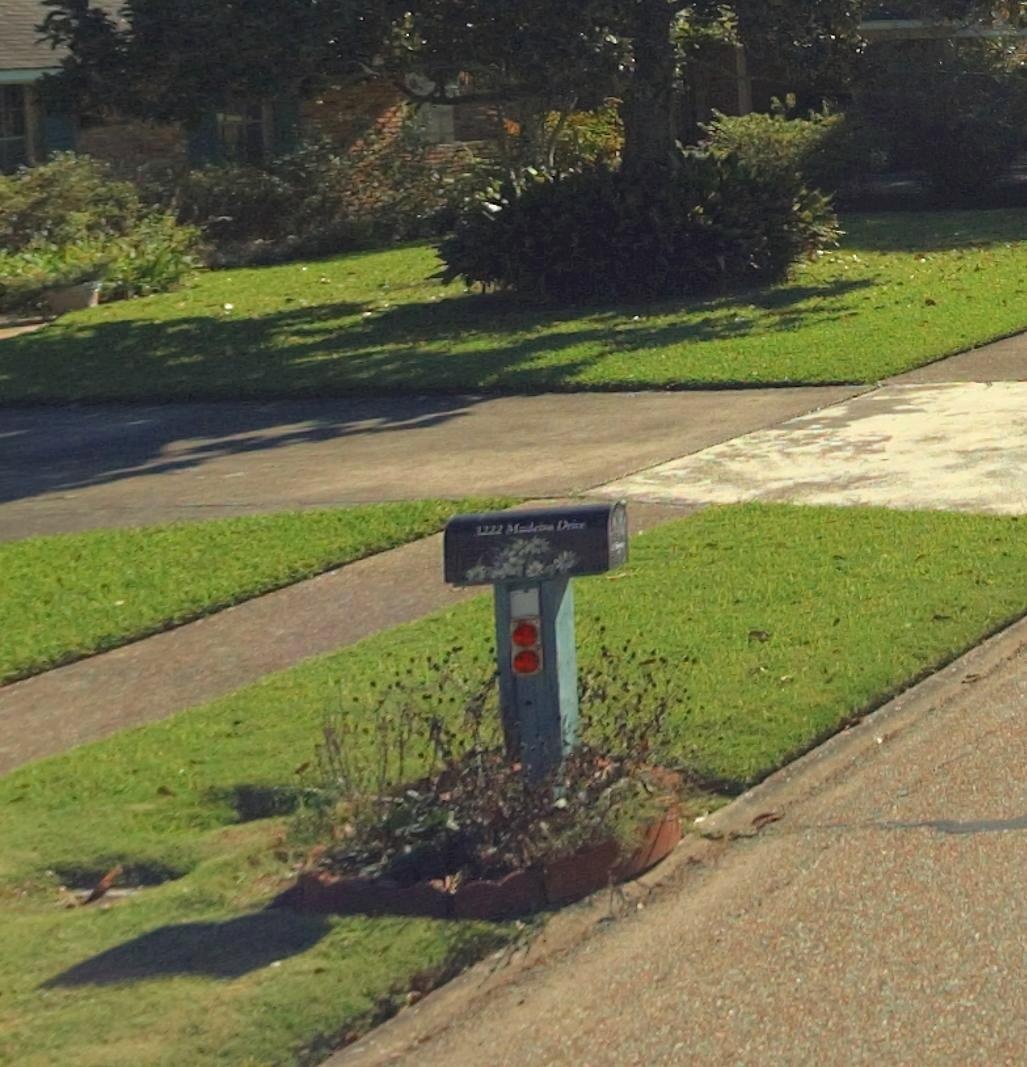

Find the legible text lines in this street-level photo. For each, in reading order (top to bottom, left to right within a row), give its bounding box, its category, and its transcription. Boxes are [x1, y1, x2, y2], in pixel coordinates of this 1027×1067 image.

[475, 522, 504, 537] StreetNumber: 3222
[505, 517, 587, 536] StreetName: M*l**a Drive